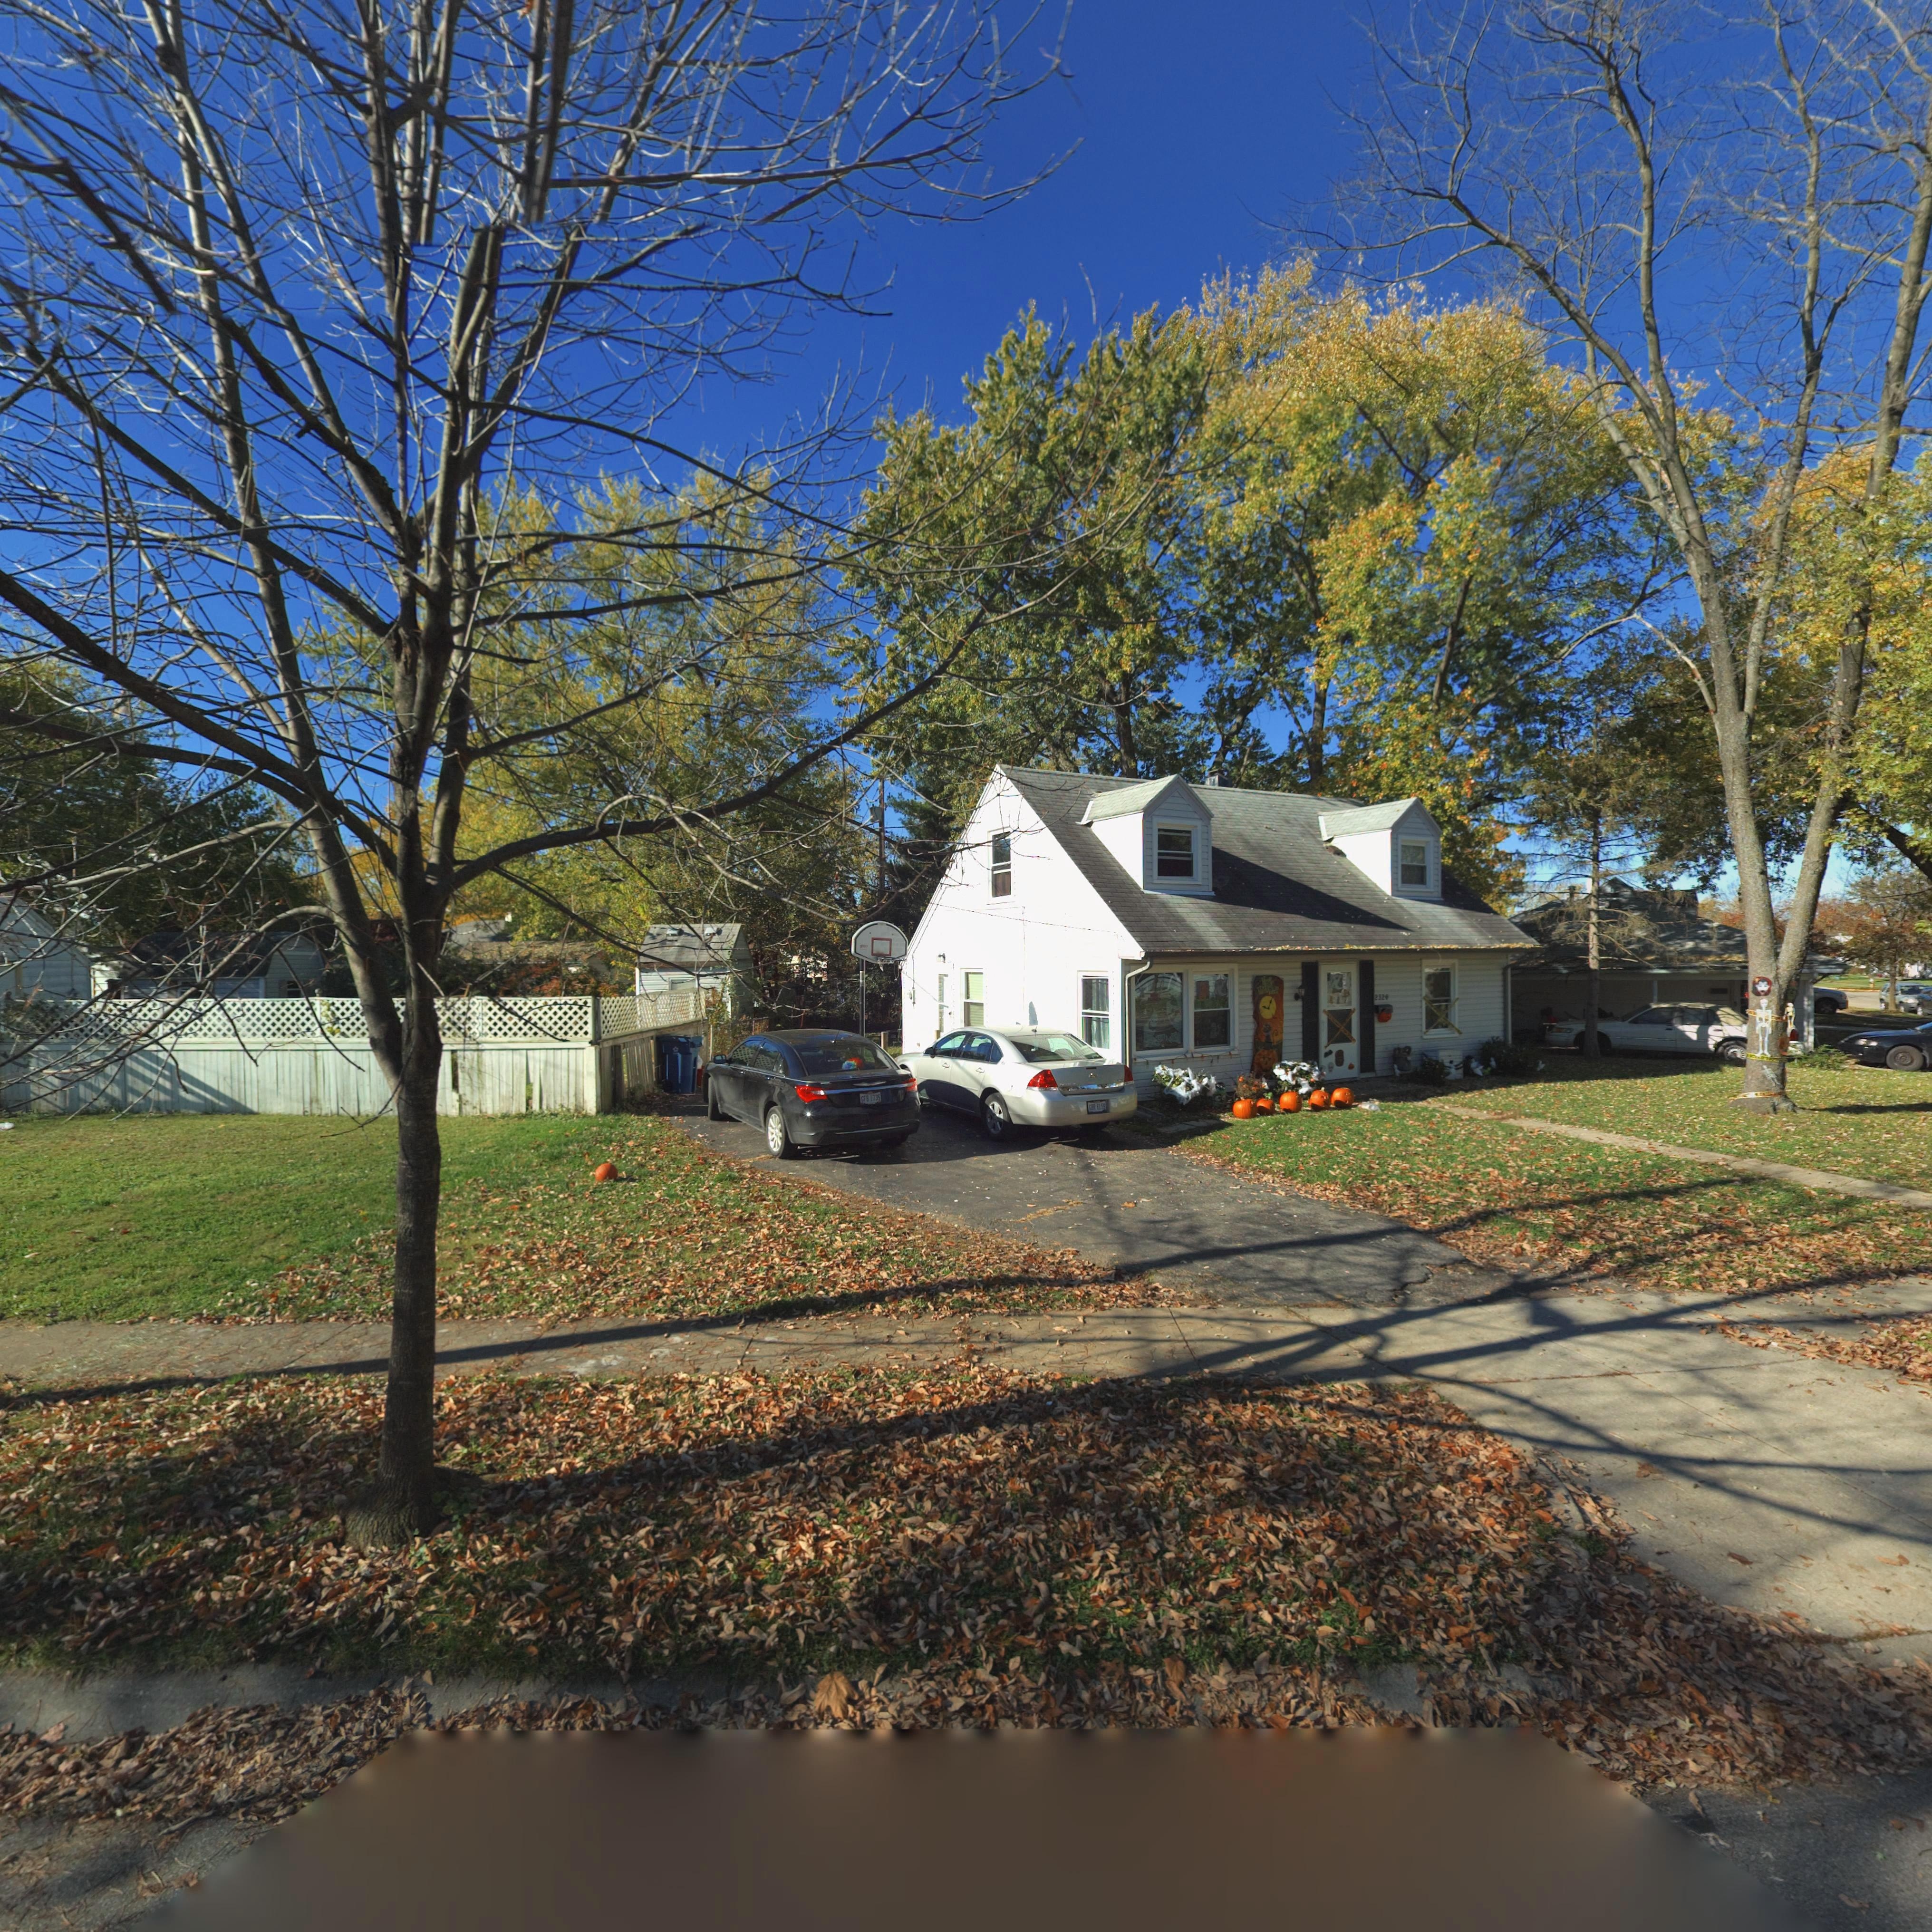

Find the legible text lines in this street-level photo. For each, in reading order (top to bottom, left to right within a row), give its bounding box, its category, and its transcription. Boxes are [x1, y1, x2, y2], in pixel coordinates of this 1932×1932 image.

[1373, 993, 1389, 1001] StreetNumber: *32*